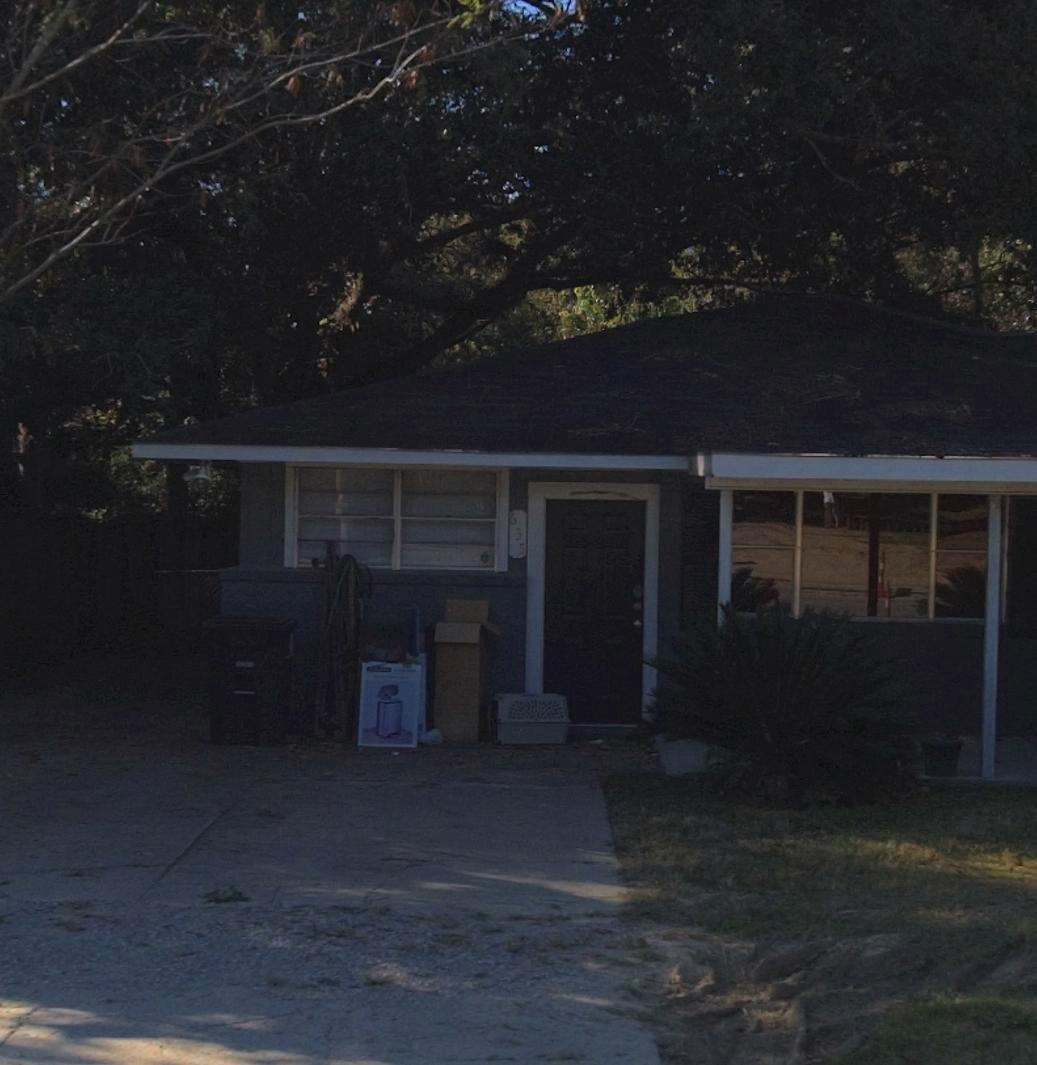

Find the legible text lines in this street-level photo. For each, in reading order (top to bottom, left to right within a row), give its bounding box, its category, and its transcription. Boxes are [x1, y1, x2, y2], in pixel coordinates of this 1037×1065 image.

[508, 513, 526, 556] StreetNumber: 635